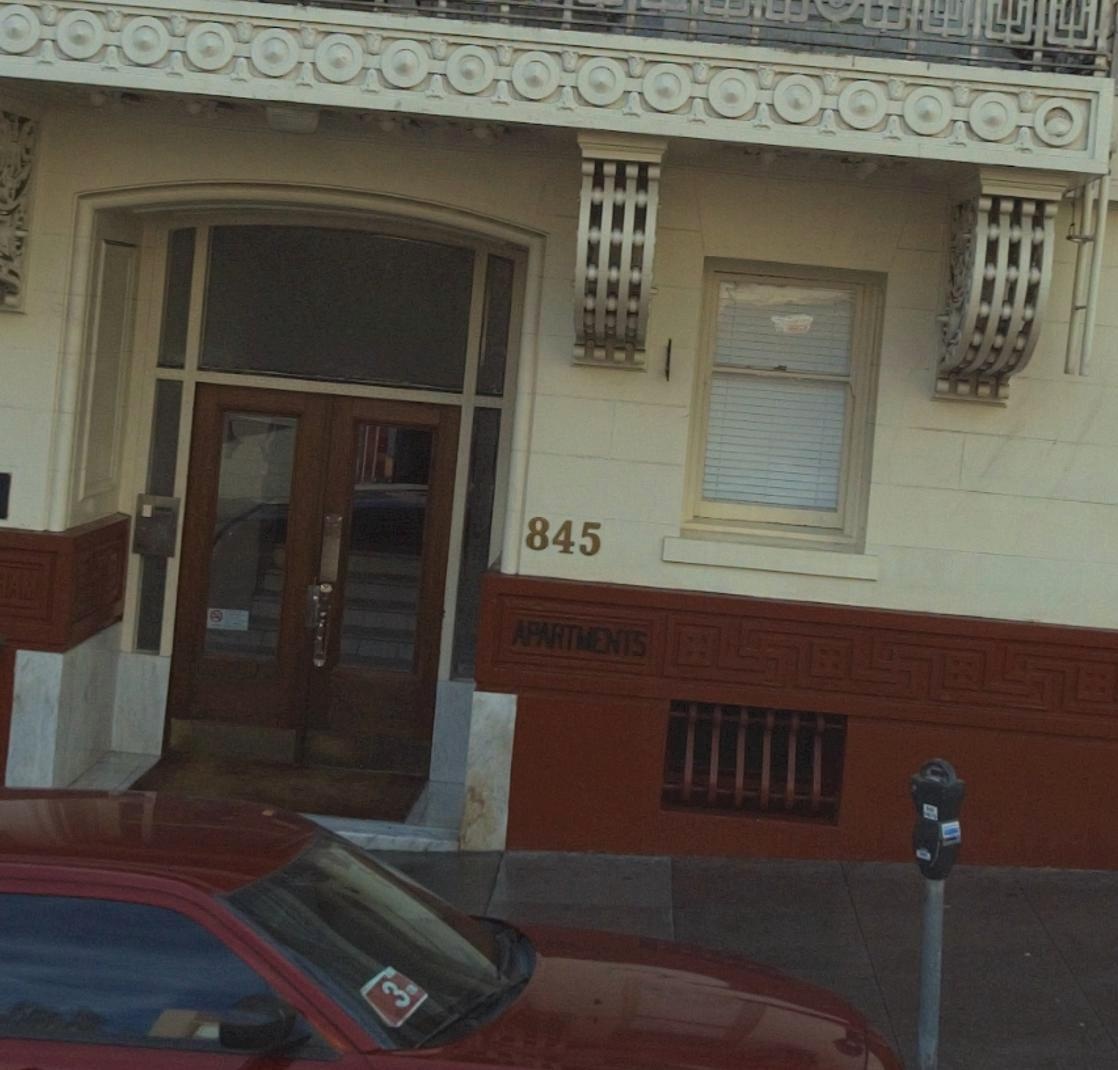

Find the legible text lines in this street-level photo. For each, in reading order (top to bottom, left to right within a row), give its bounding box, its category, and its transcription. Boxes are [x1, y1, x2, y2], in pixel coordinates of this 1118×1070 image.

[520, 511, 611, 562] StreetNumber: 845
[507, 616, 651, 661] None: APARTMENTS